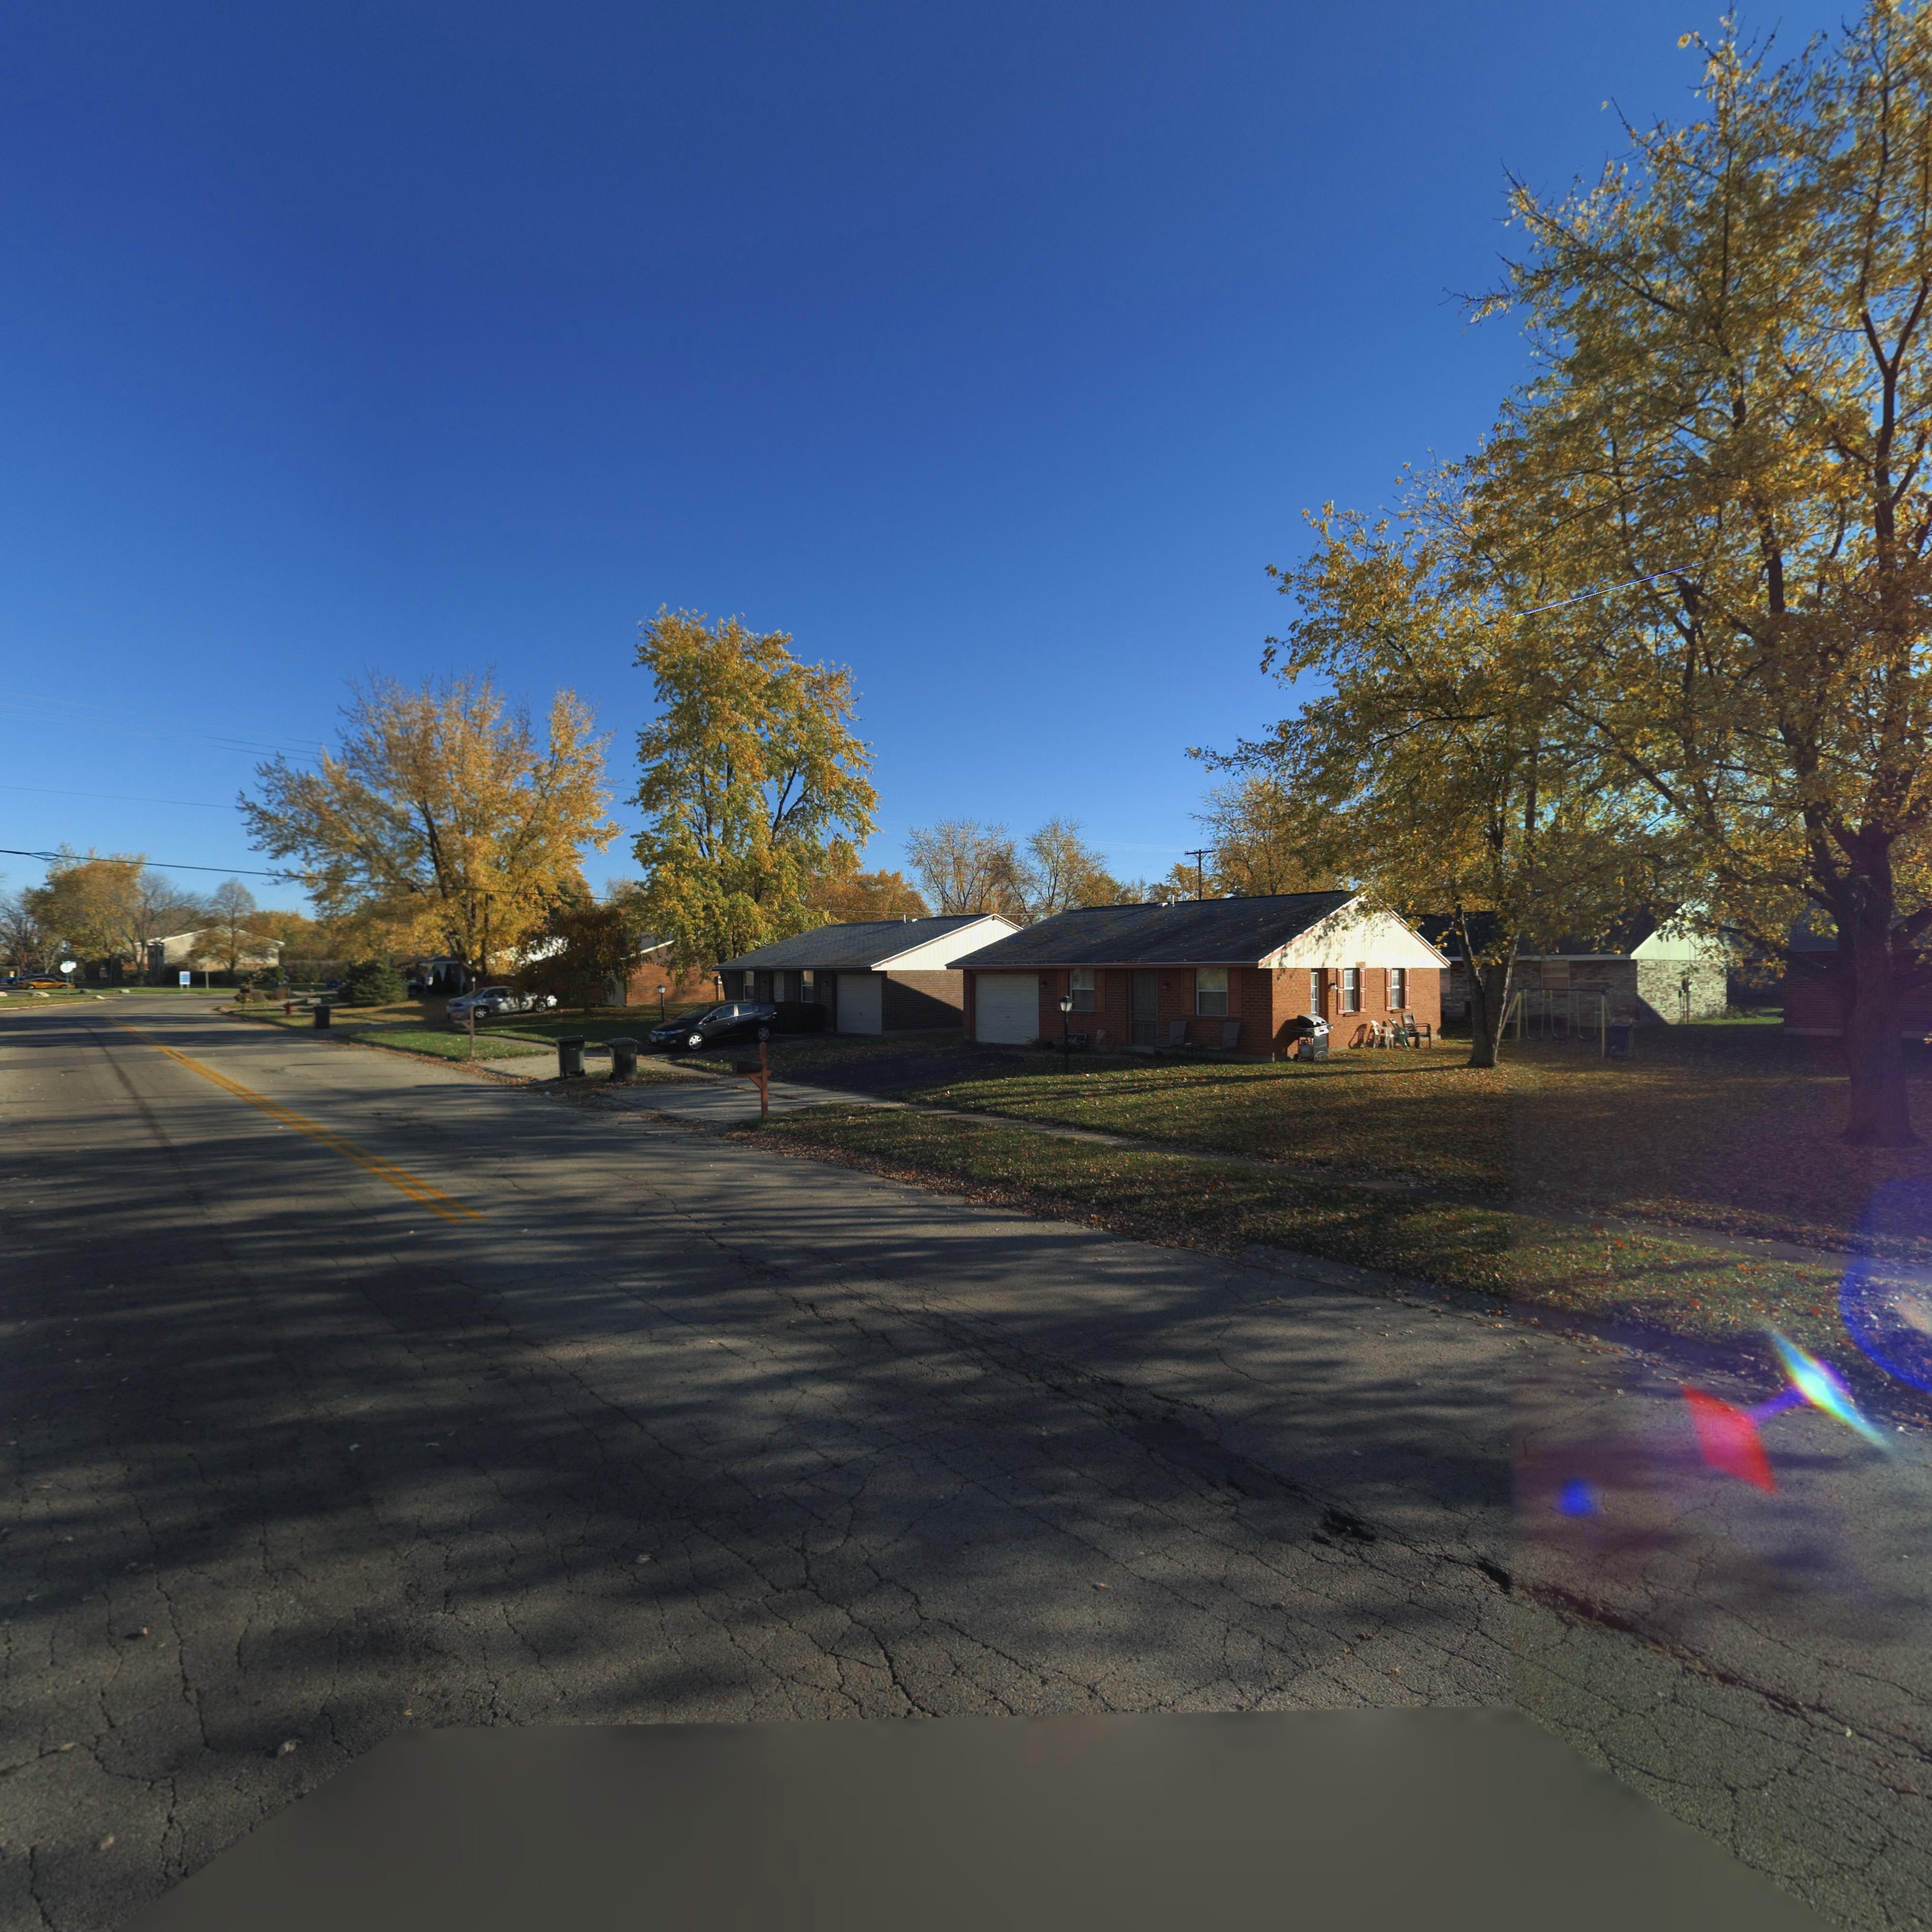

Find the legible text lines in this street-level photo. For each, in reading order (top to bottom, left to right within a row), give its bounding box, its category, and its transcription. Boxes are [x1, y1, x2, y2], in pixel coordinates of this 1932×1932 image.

[998, 969, 1008, 974] StreetNumber: 7**9